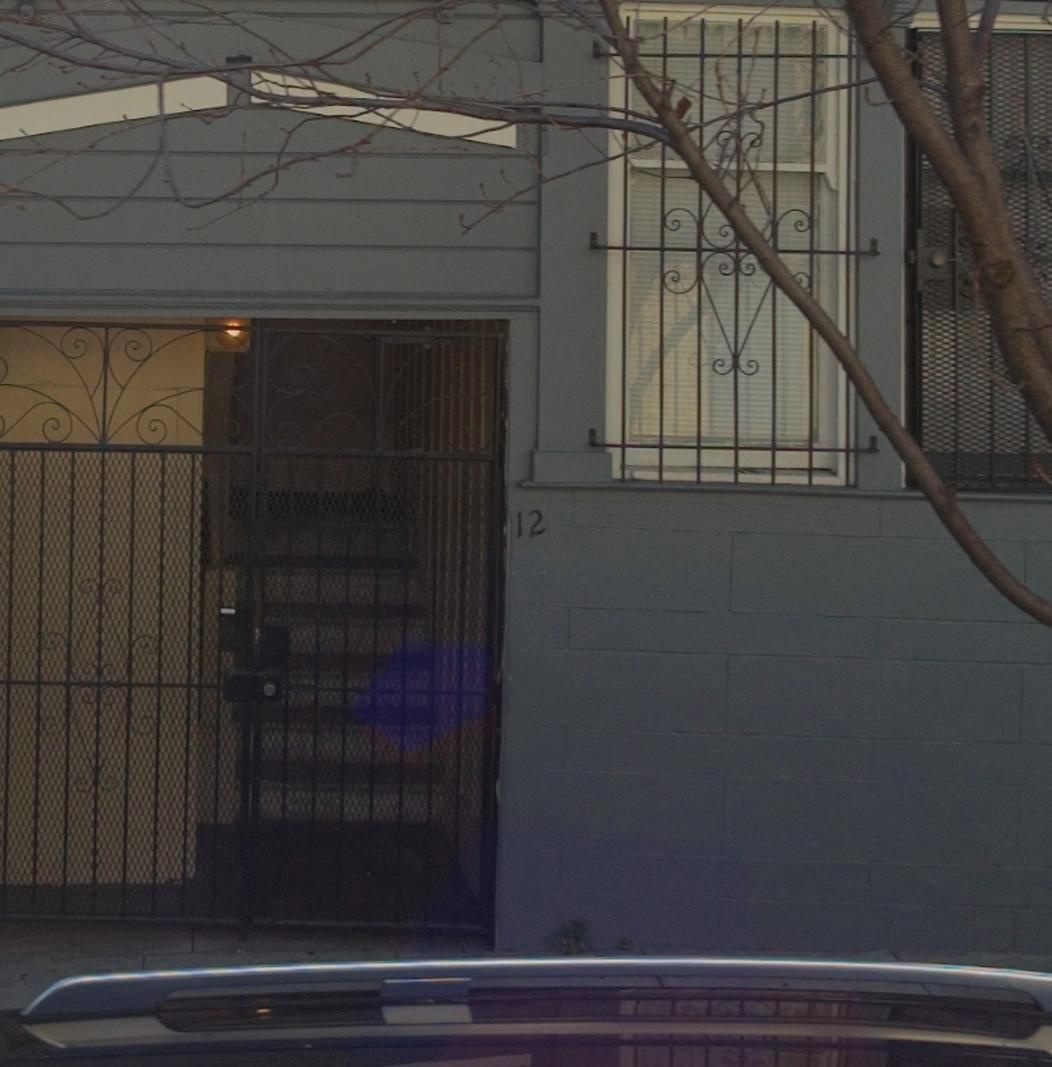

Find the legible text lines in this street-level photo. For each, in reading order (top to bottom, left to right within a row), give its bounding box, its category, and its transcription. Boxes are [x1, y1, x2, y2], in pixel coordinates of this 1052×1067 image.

[512, 506, 550, 543] StreetNumber: 12